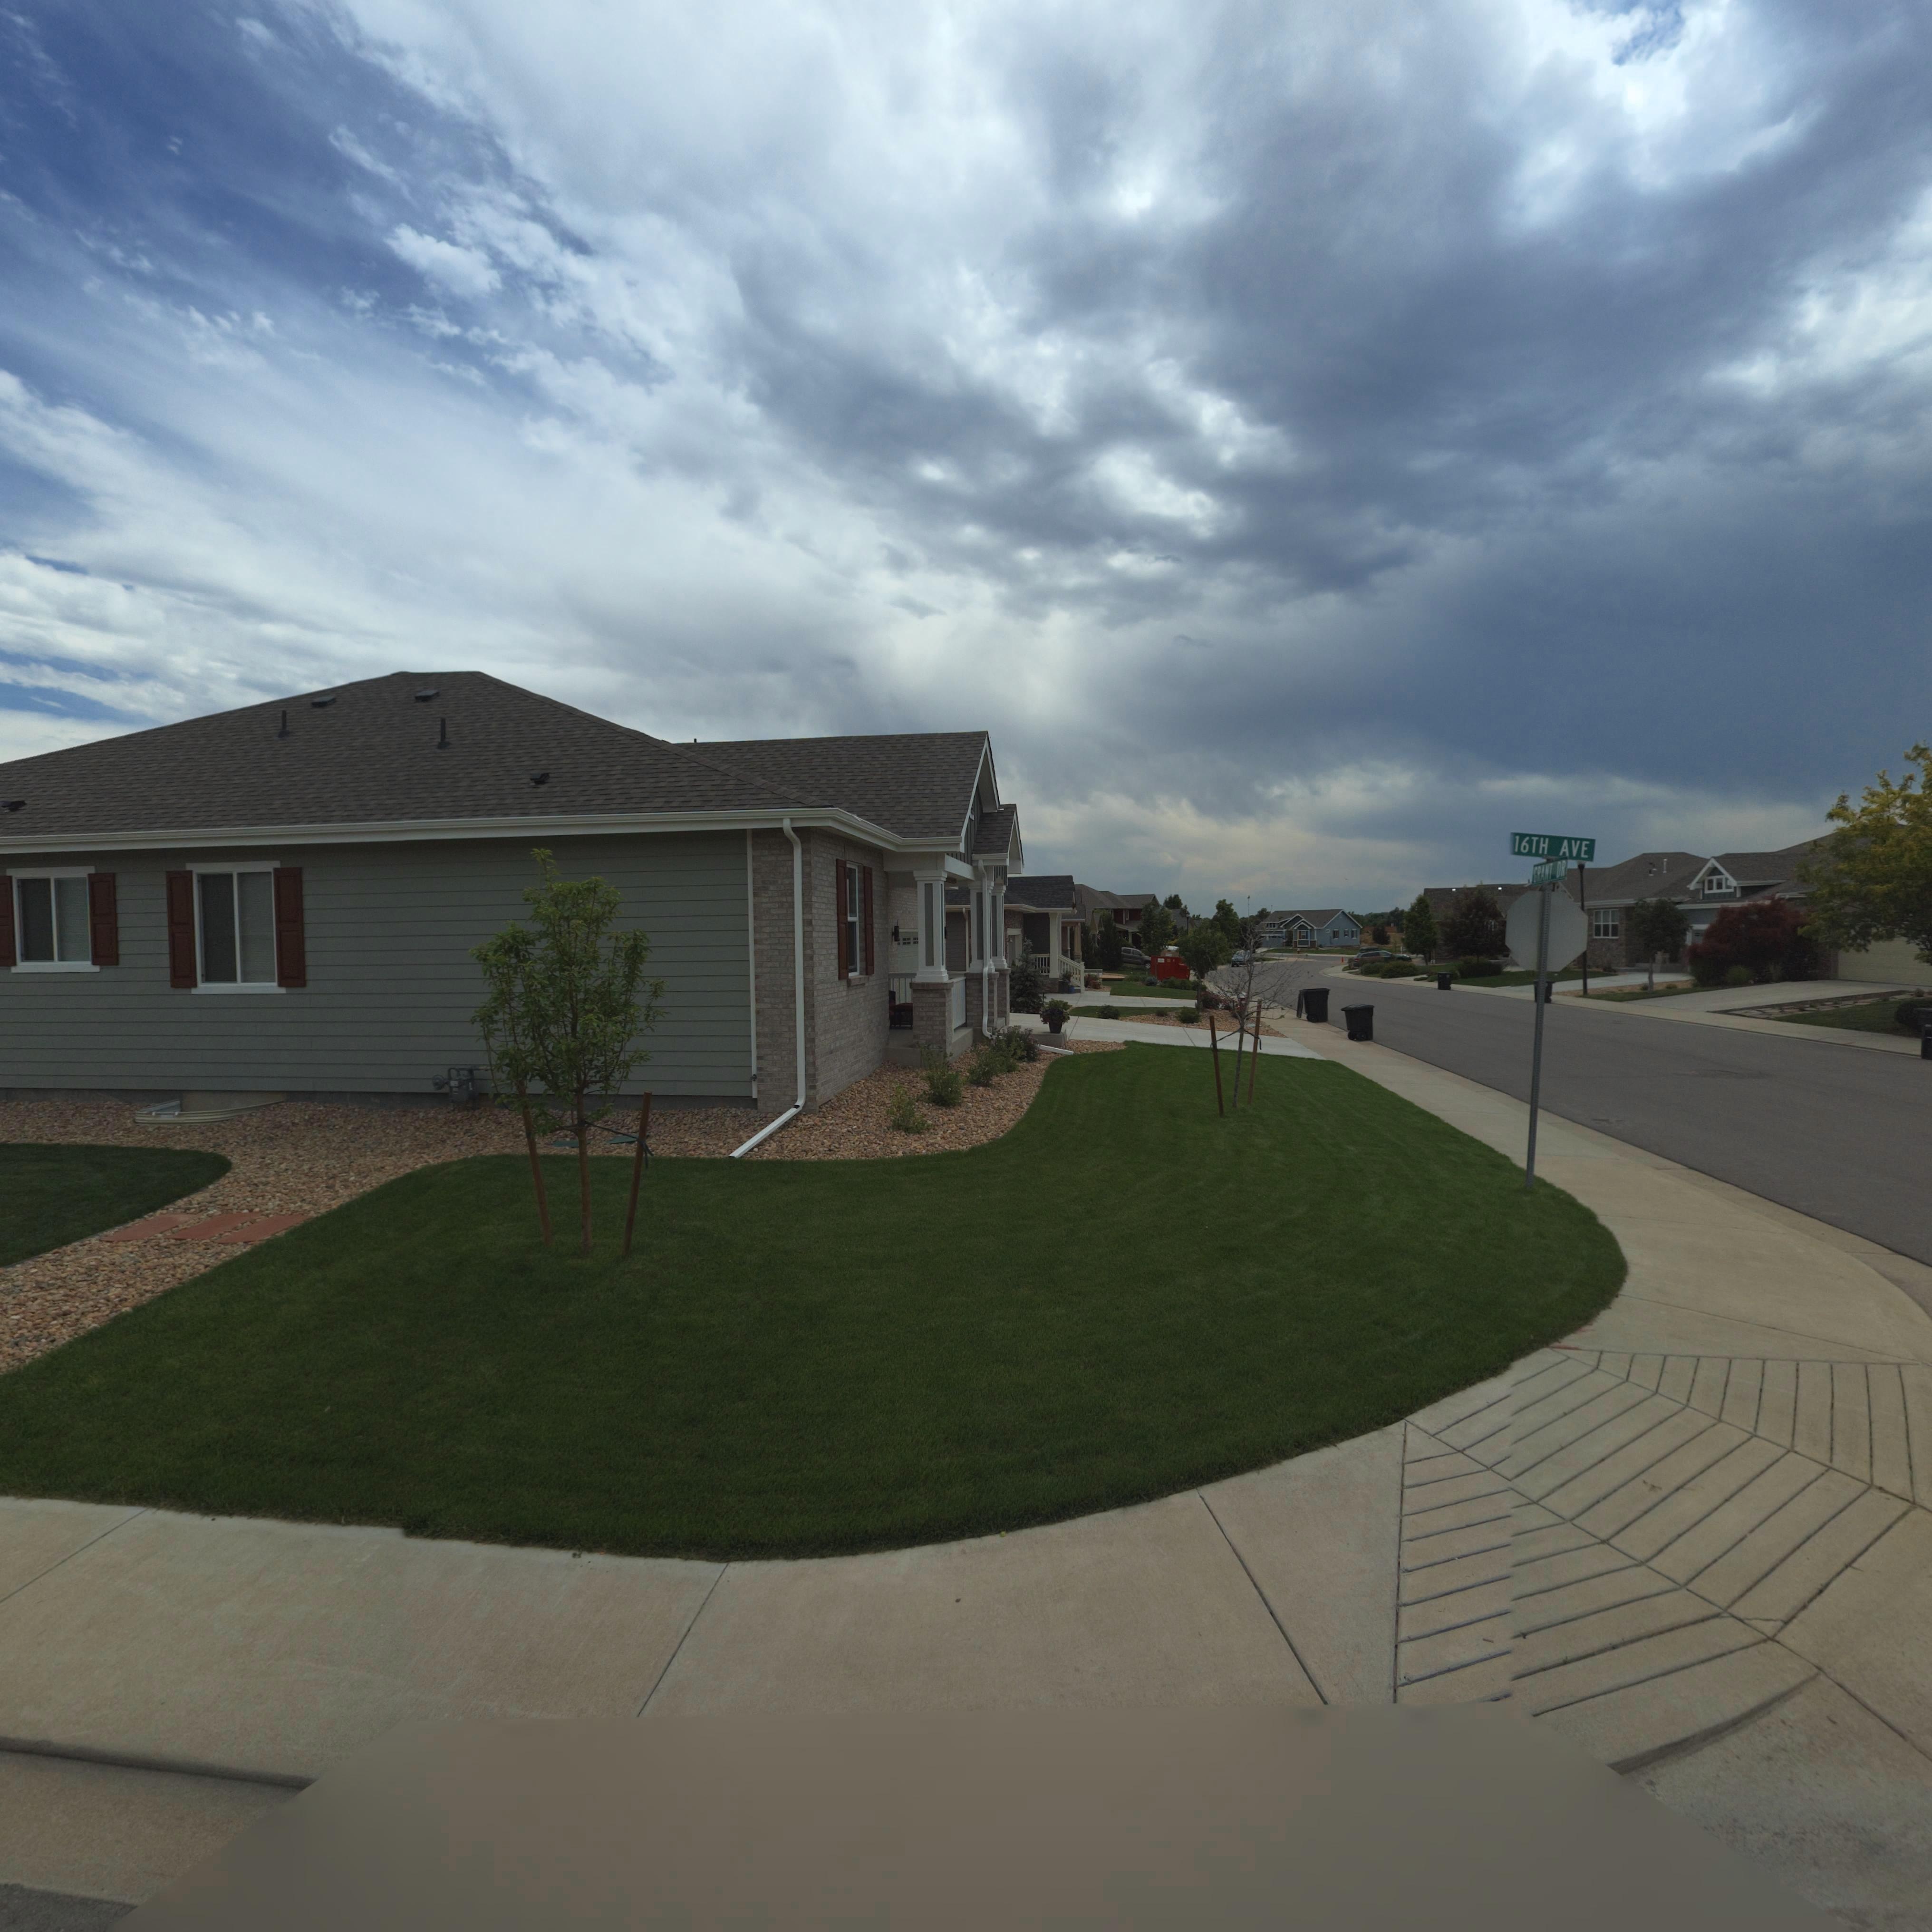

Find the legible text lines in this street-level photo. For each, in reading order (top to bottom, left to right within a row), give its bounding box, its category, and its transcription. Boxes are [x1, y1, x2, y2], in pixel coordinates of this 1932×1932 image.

[1514, 835, 1590, 859] StreetName: 16TH AVE
[1533, 859, 1566, 883] StreetName: GRANT DR